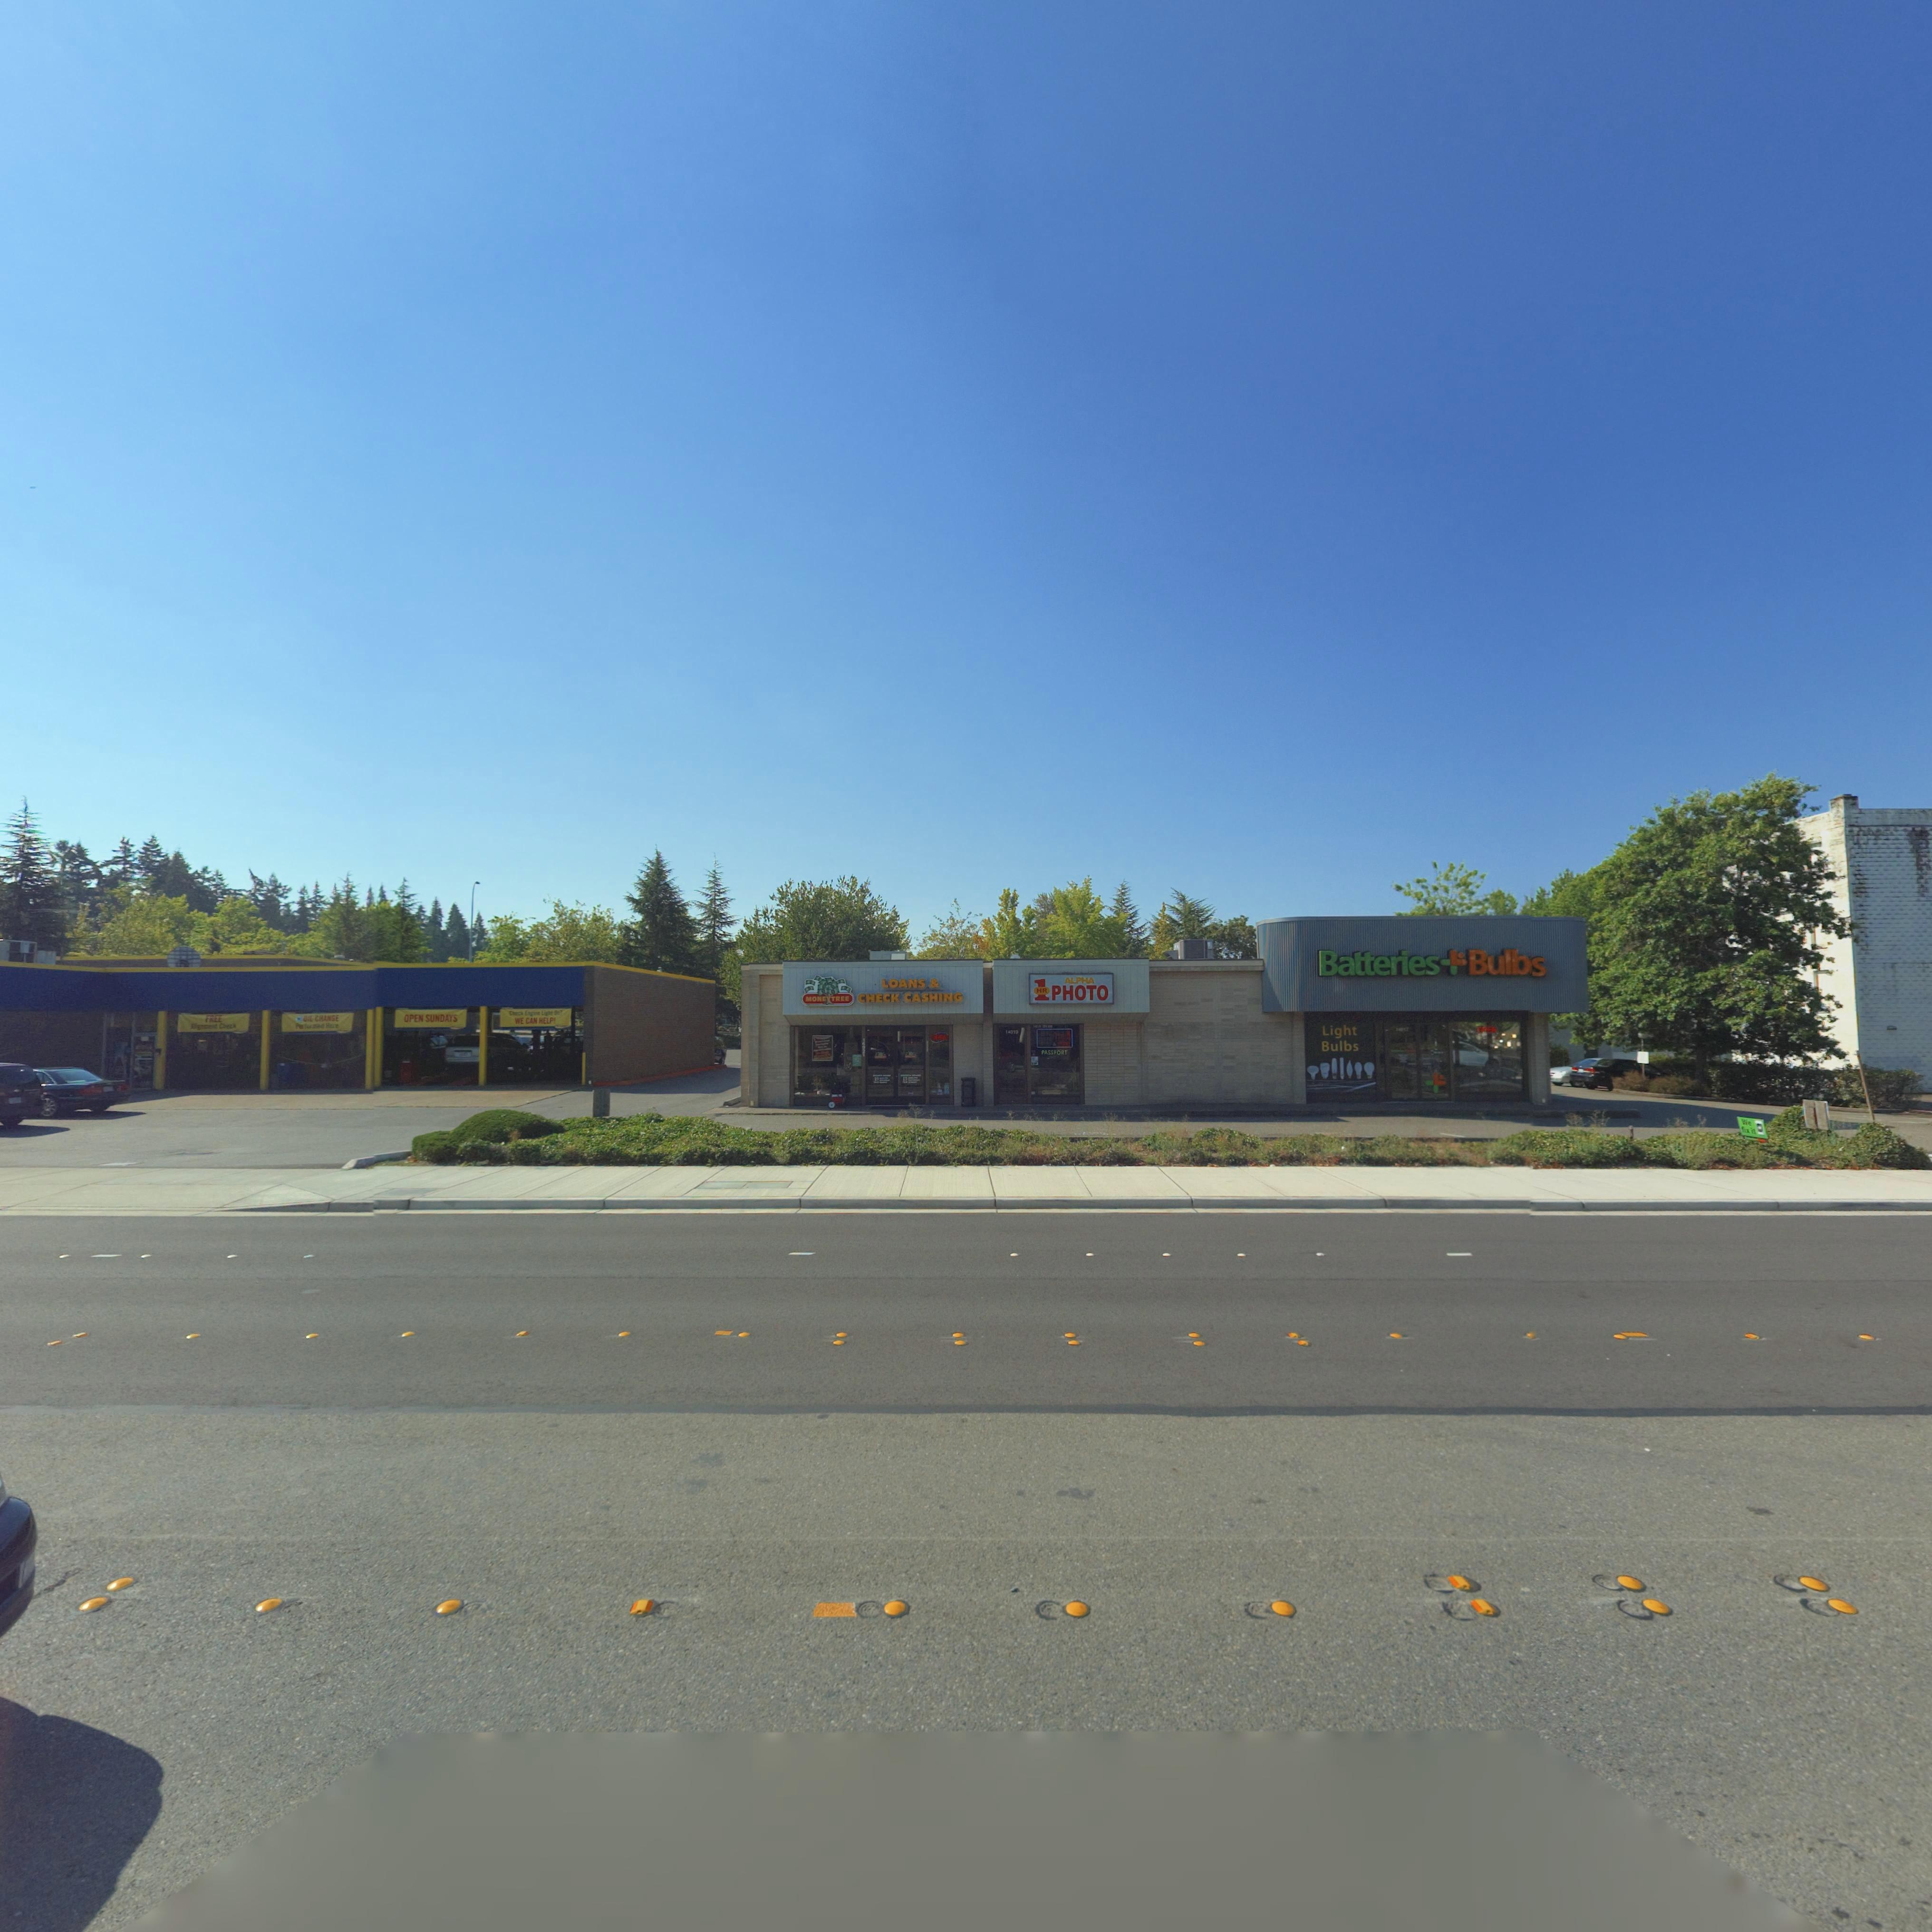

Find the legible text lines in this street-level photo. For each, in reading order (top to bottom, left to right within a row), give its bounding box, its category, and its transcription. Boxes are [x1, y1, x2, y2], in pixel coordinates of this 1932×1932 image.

[1318, 947, 1548, 976] BusinessName: Batteries*Bulbs
[1064, 976, 1096, 984] BusinessName: ALPHA
[1033, 977, 1050, 1001] BusinessName: 1HR
[1051, 984, 1110, 1001] None: PHOTO
[1322, 1040, 1358, 1051] BusinessName: Bulbs